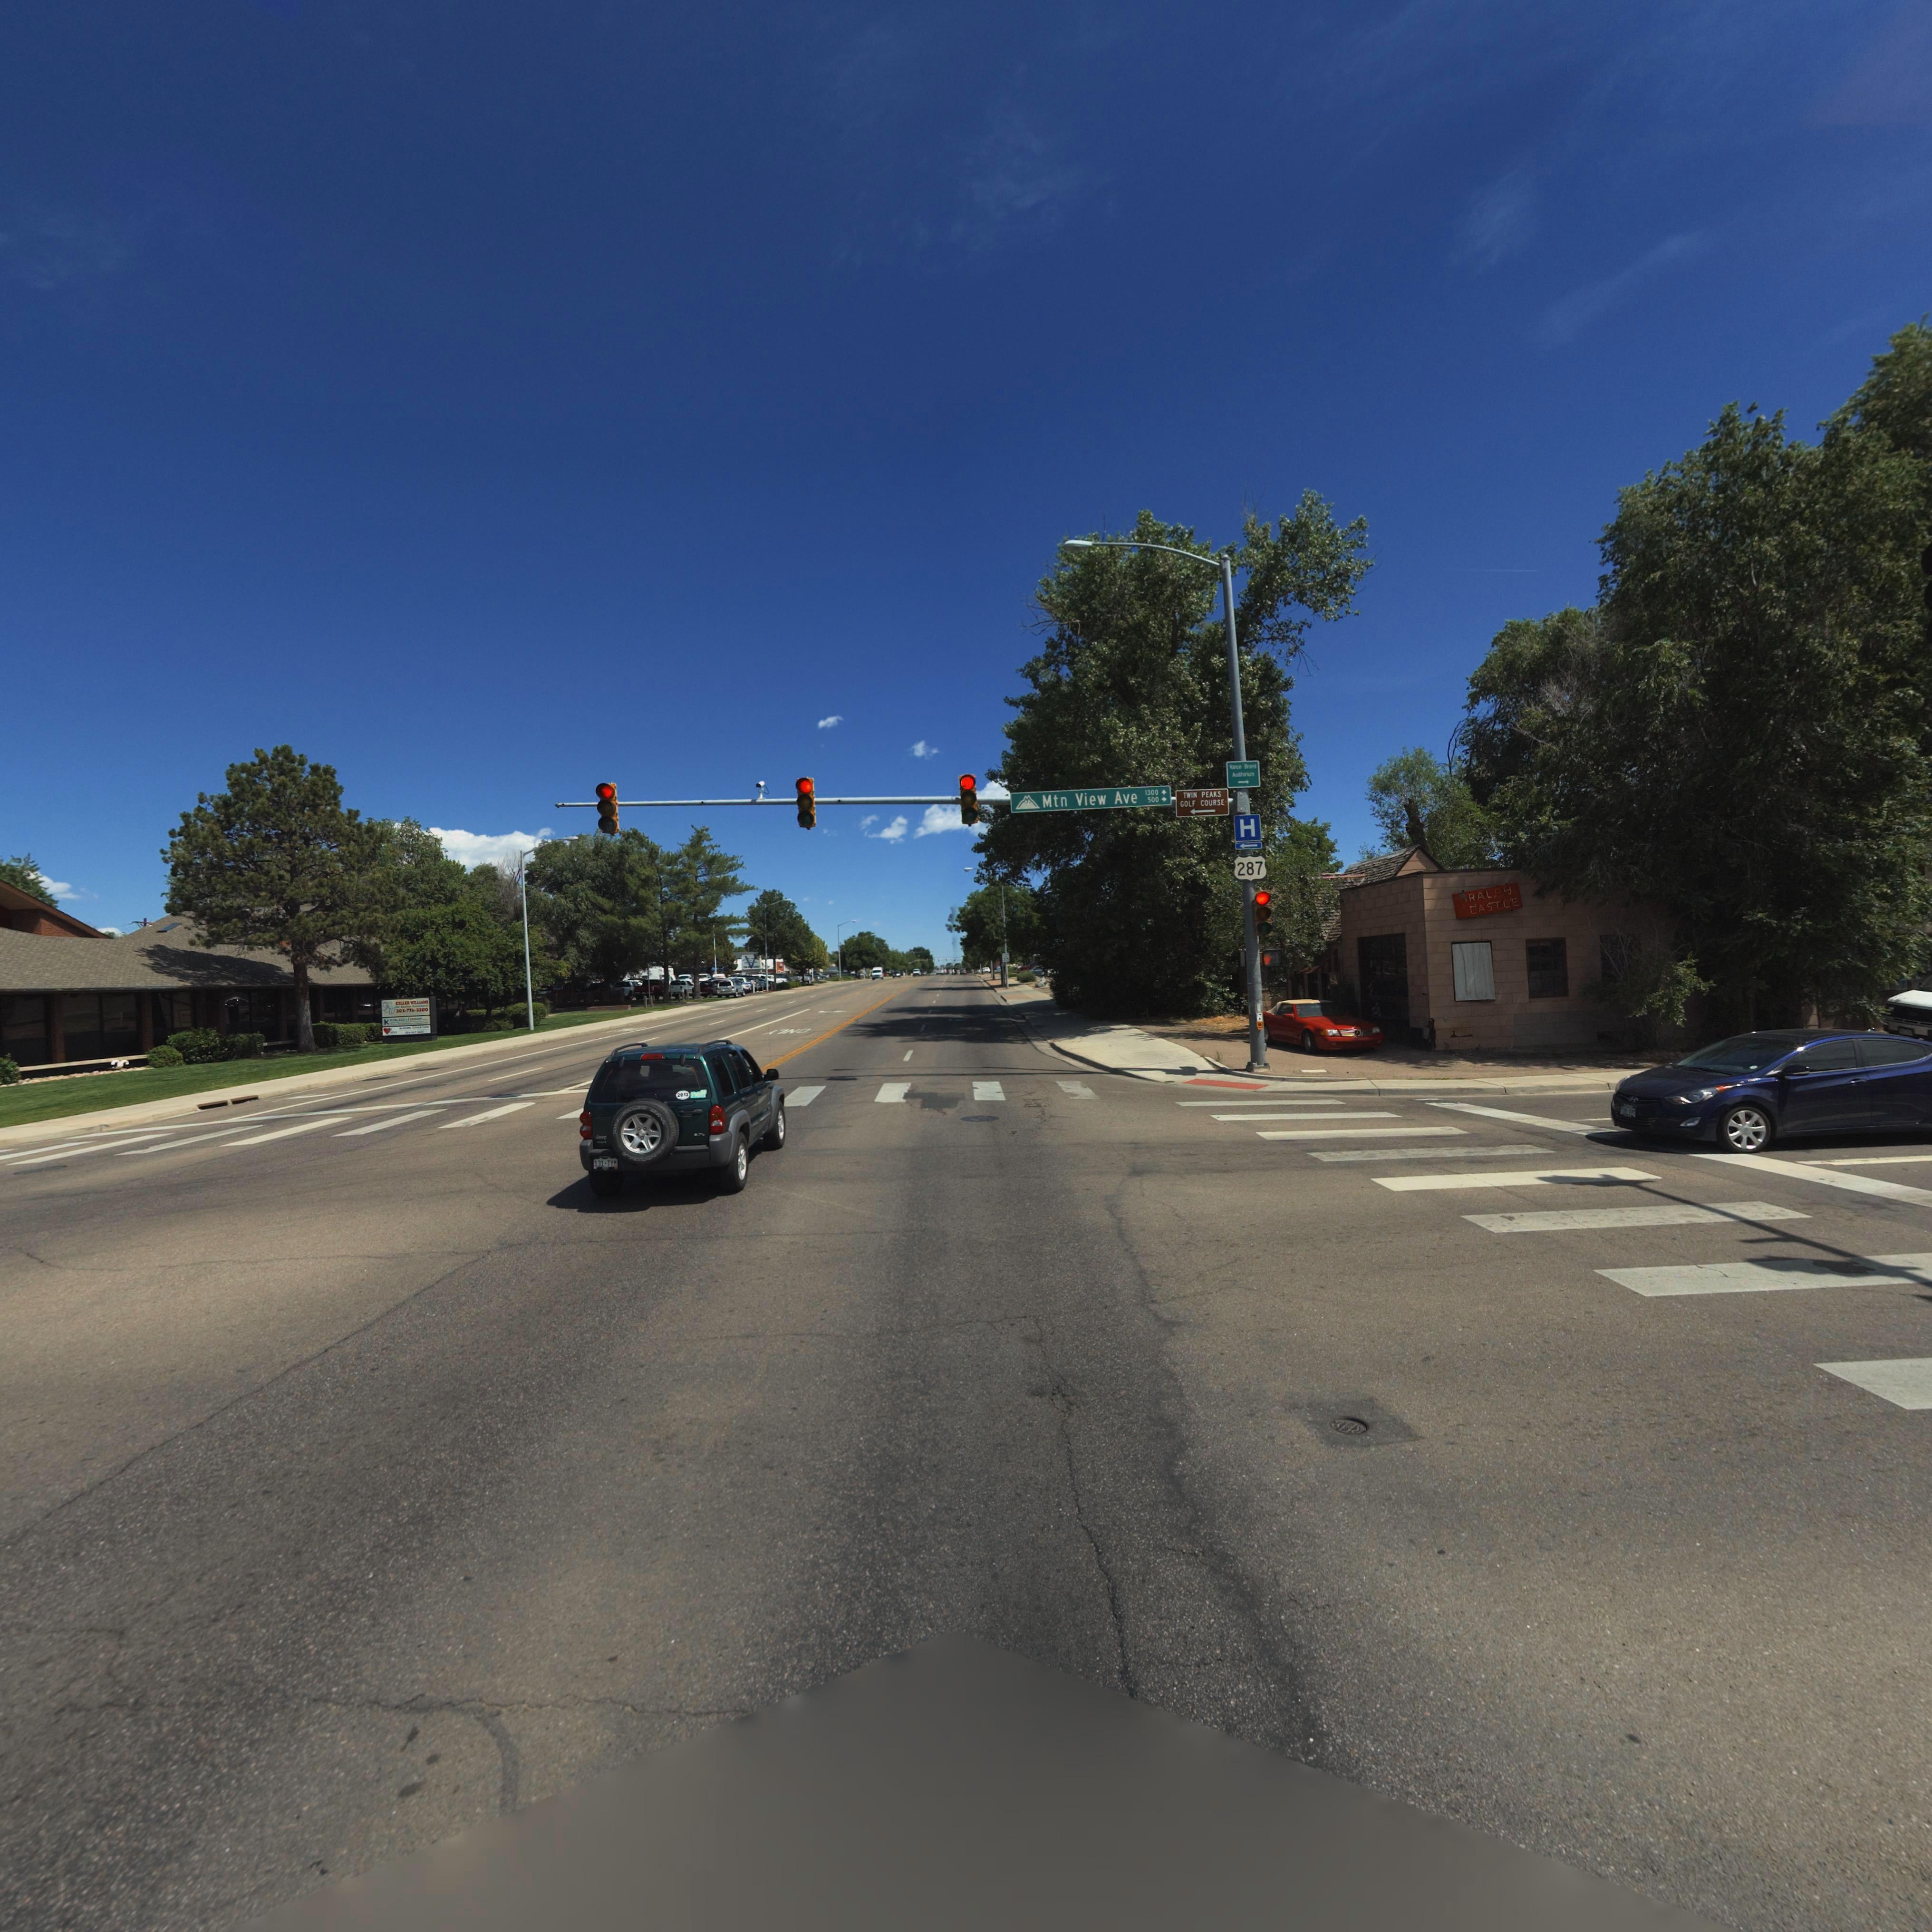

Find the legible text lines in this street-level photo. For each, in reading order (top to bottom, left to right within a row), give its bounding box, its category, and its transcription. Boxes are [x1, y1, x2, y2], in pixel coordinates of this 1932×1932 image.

[1042, 791, 1138, 808] StreetName: Mtn View Ave
[1145, 789, 1159, 795] StreetNumberRange: 1300
[1147, 796, 1167, 803] StreetNumberRange: 500->
[1468, 885, 1512, 902] BusinessName: RALPH
[1469, 897, 1520, 915] BusinessName: CASTLE
[396, 1000, 428, 1005] BusinessName: **LLE* W******